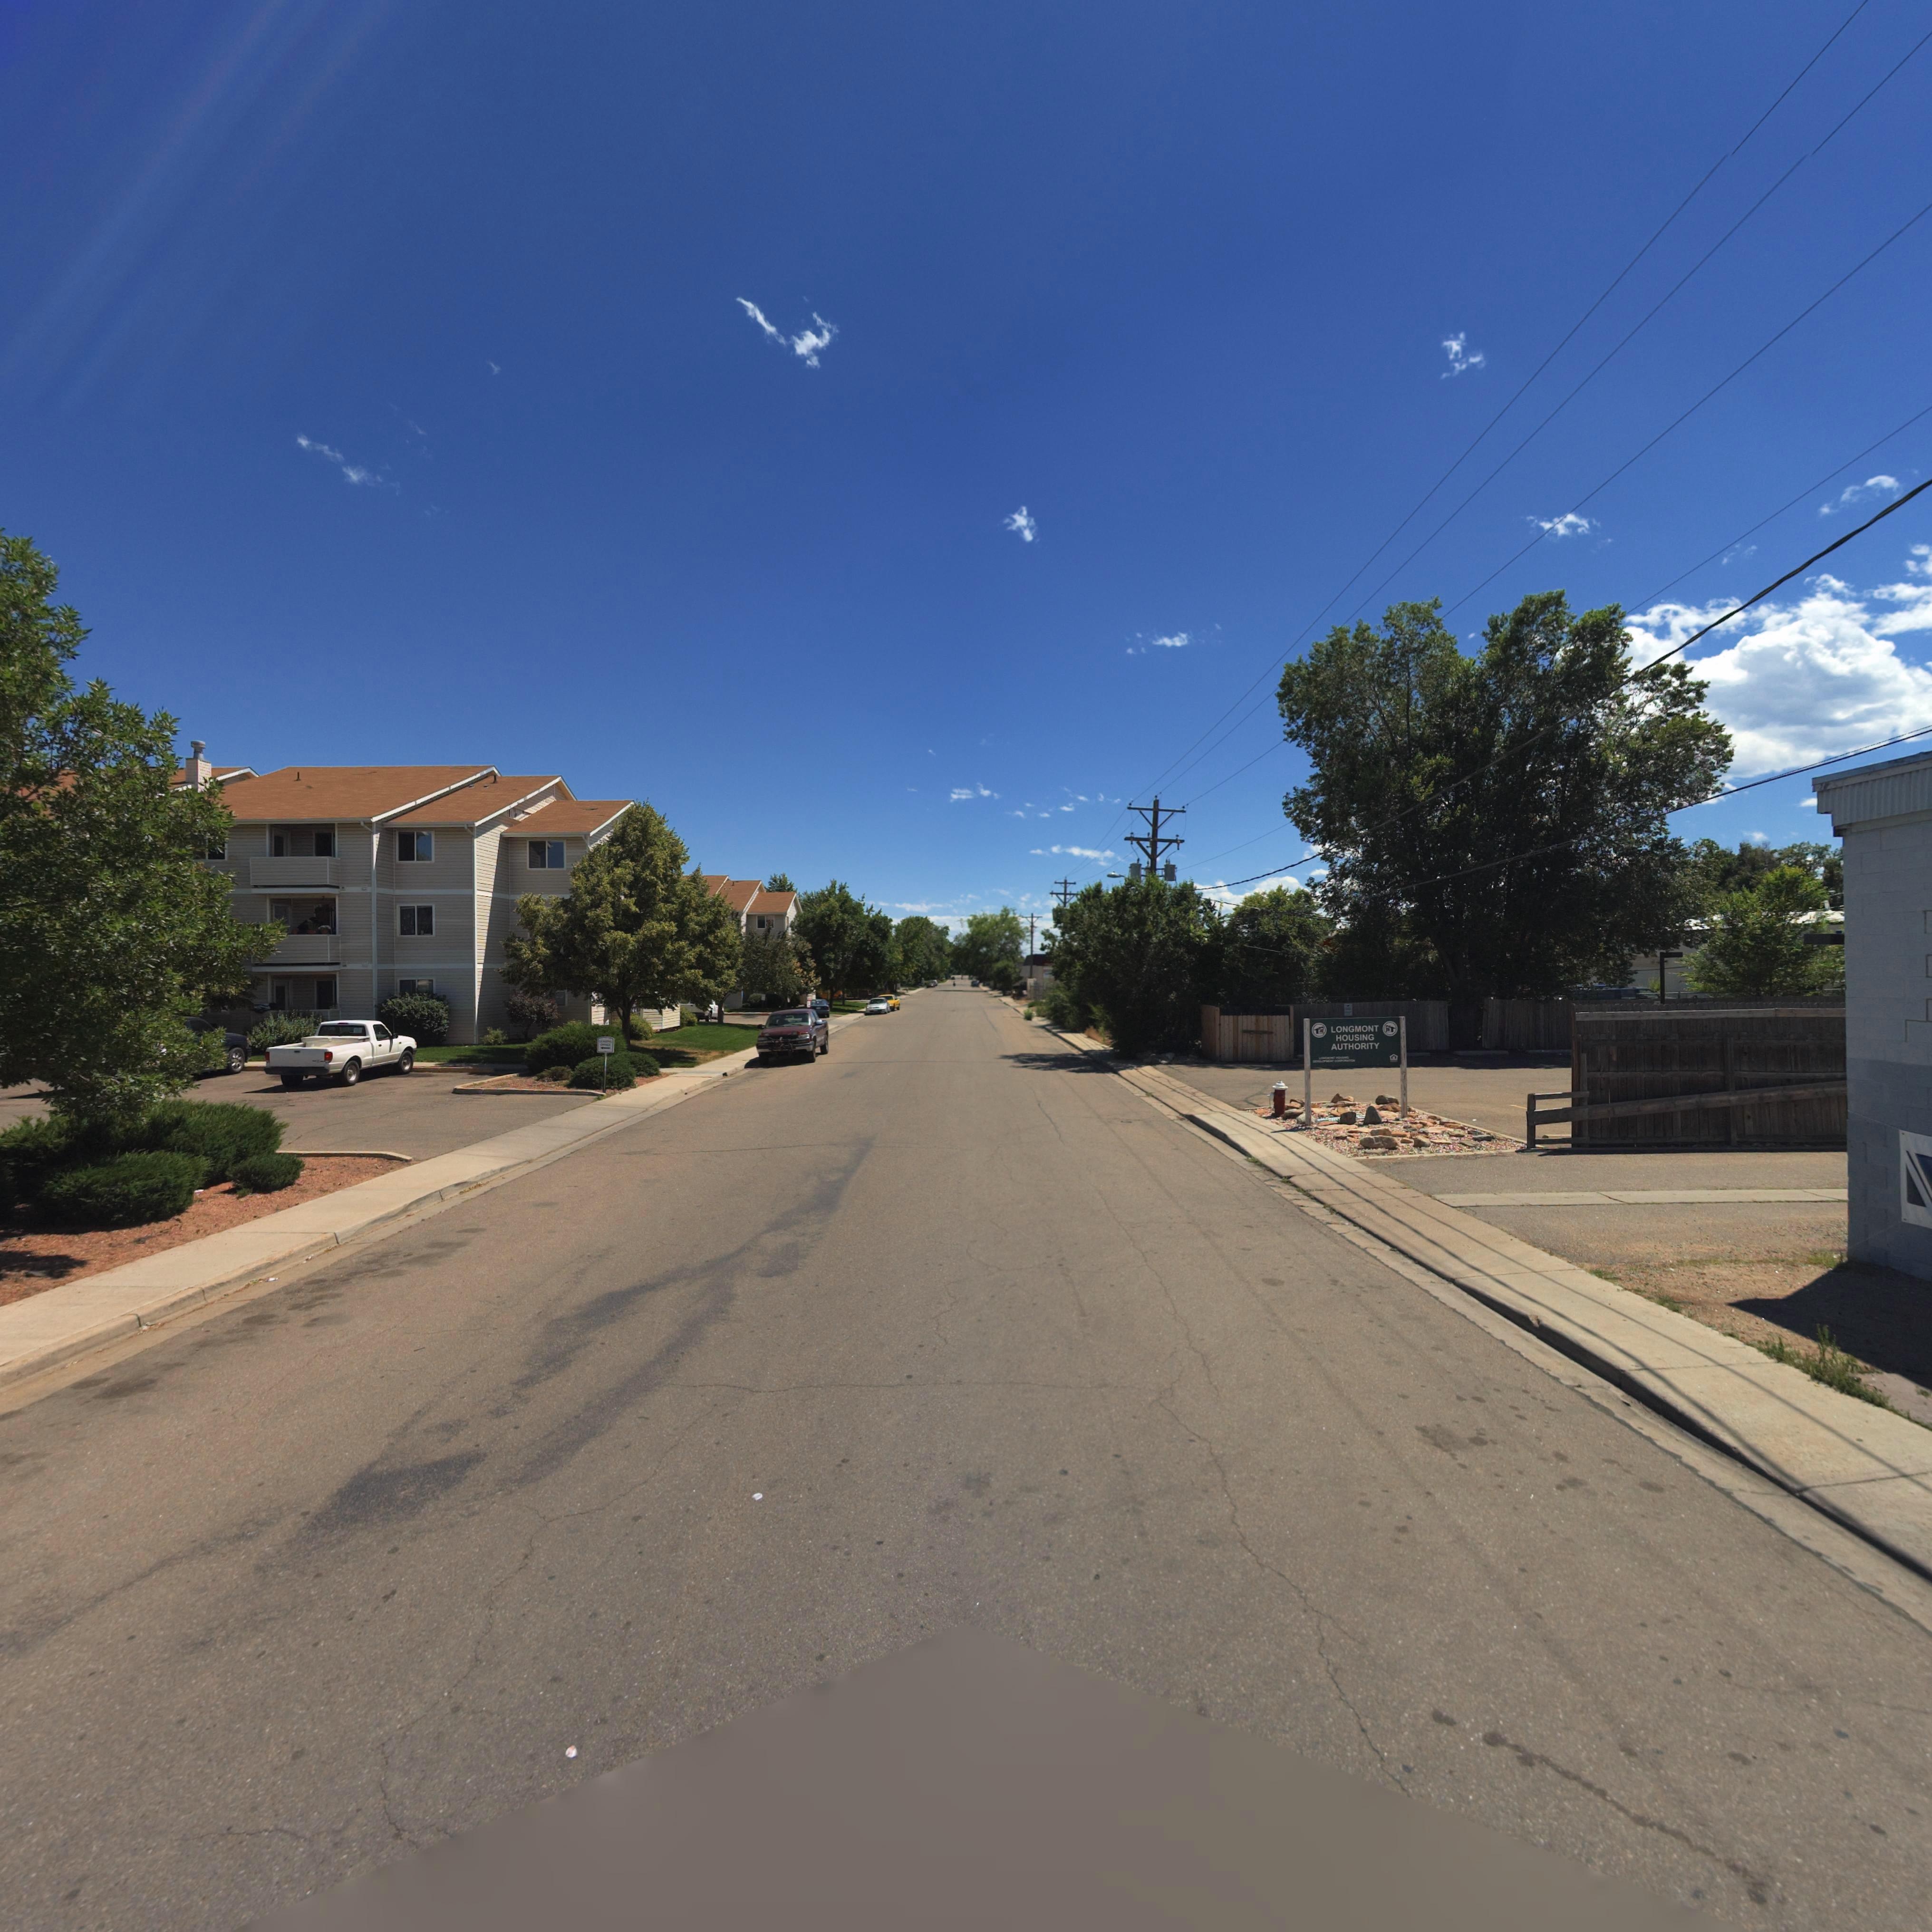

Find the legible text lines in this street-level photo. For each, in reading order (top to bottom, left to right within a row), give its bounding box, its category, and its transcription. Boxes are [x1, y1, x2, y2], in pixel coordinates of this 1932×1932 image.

[1331, 1024, 1379, 1033] BusinessName: LONGMONT
[1335, 1033, 1374, 1041] BusinessName: HOUSING
[1330, 1042, 1380, 1050] BusinessName: AUTHORITY